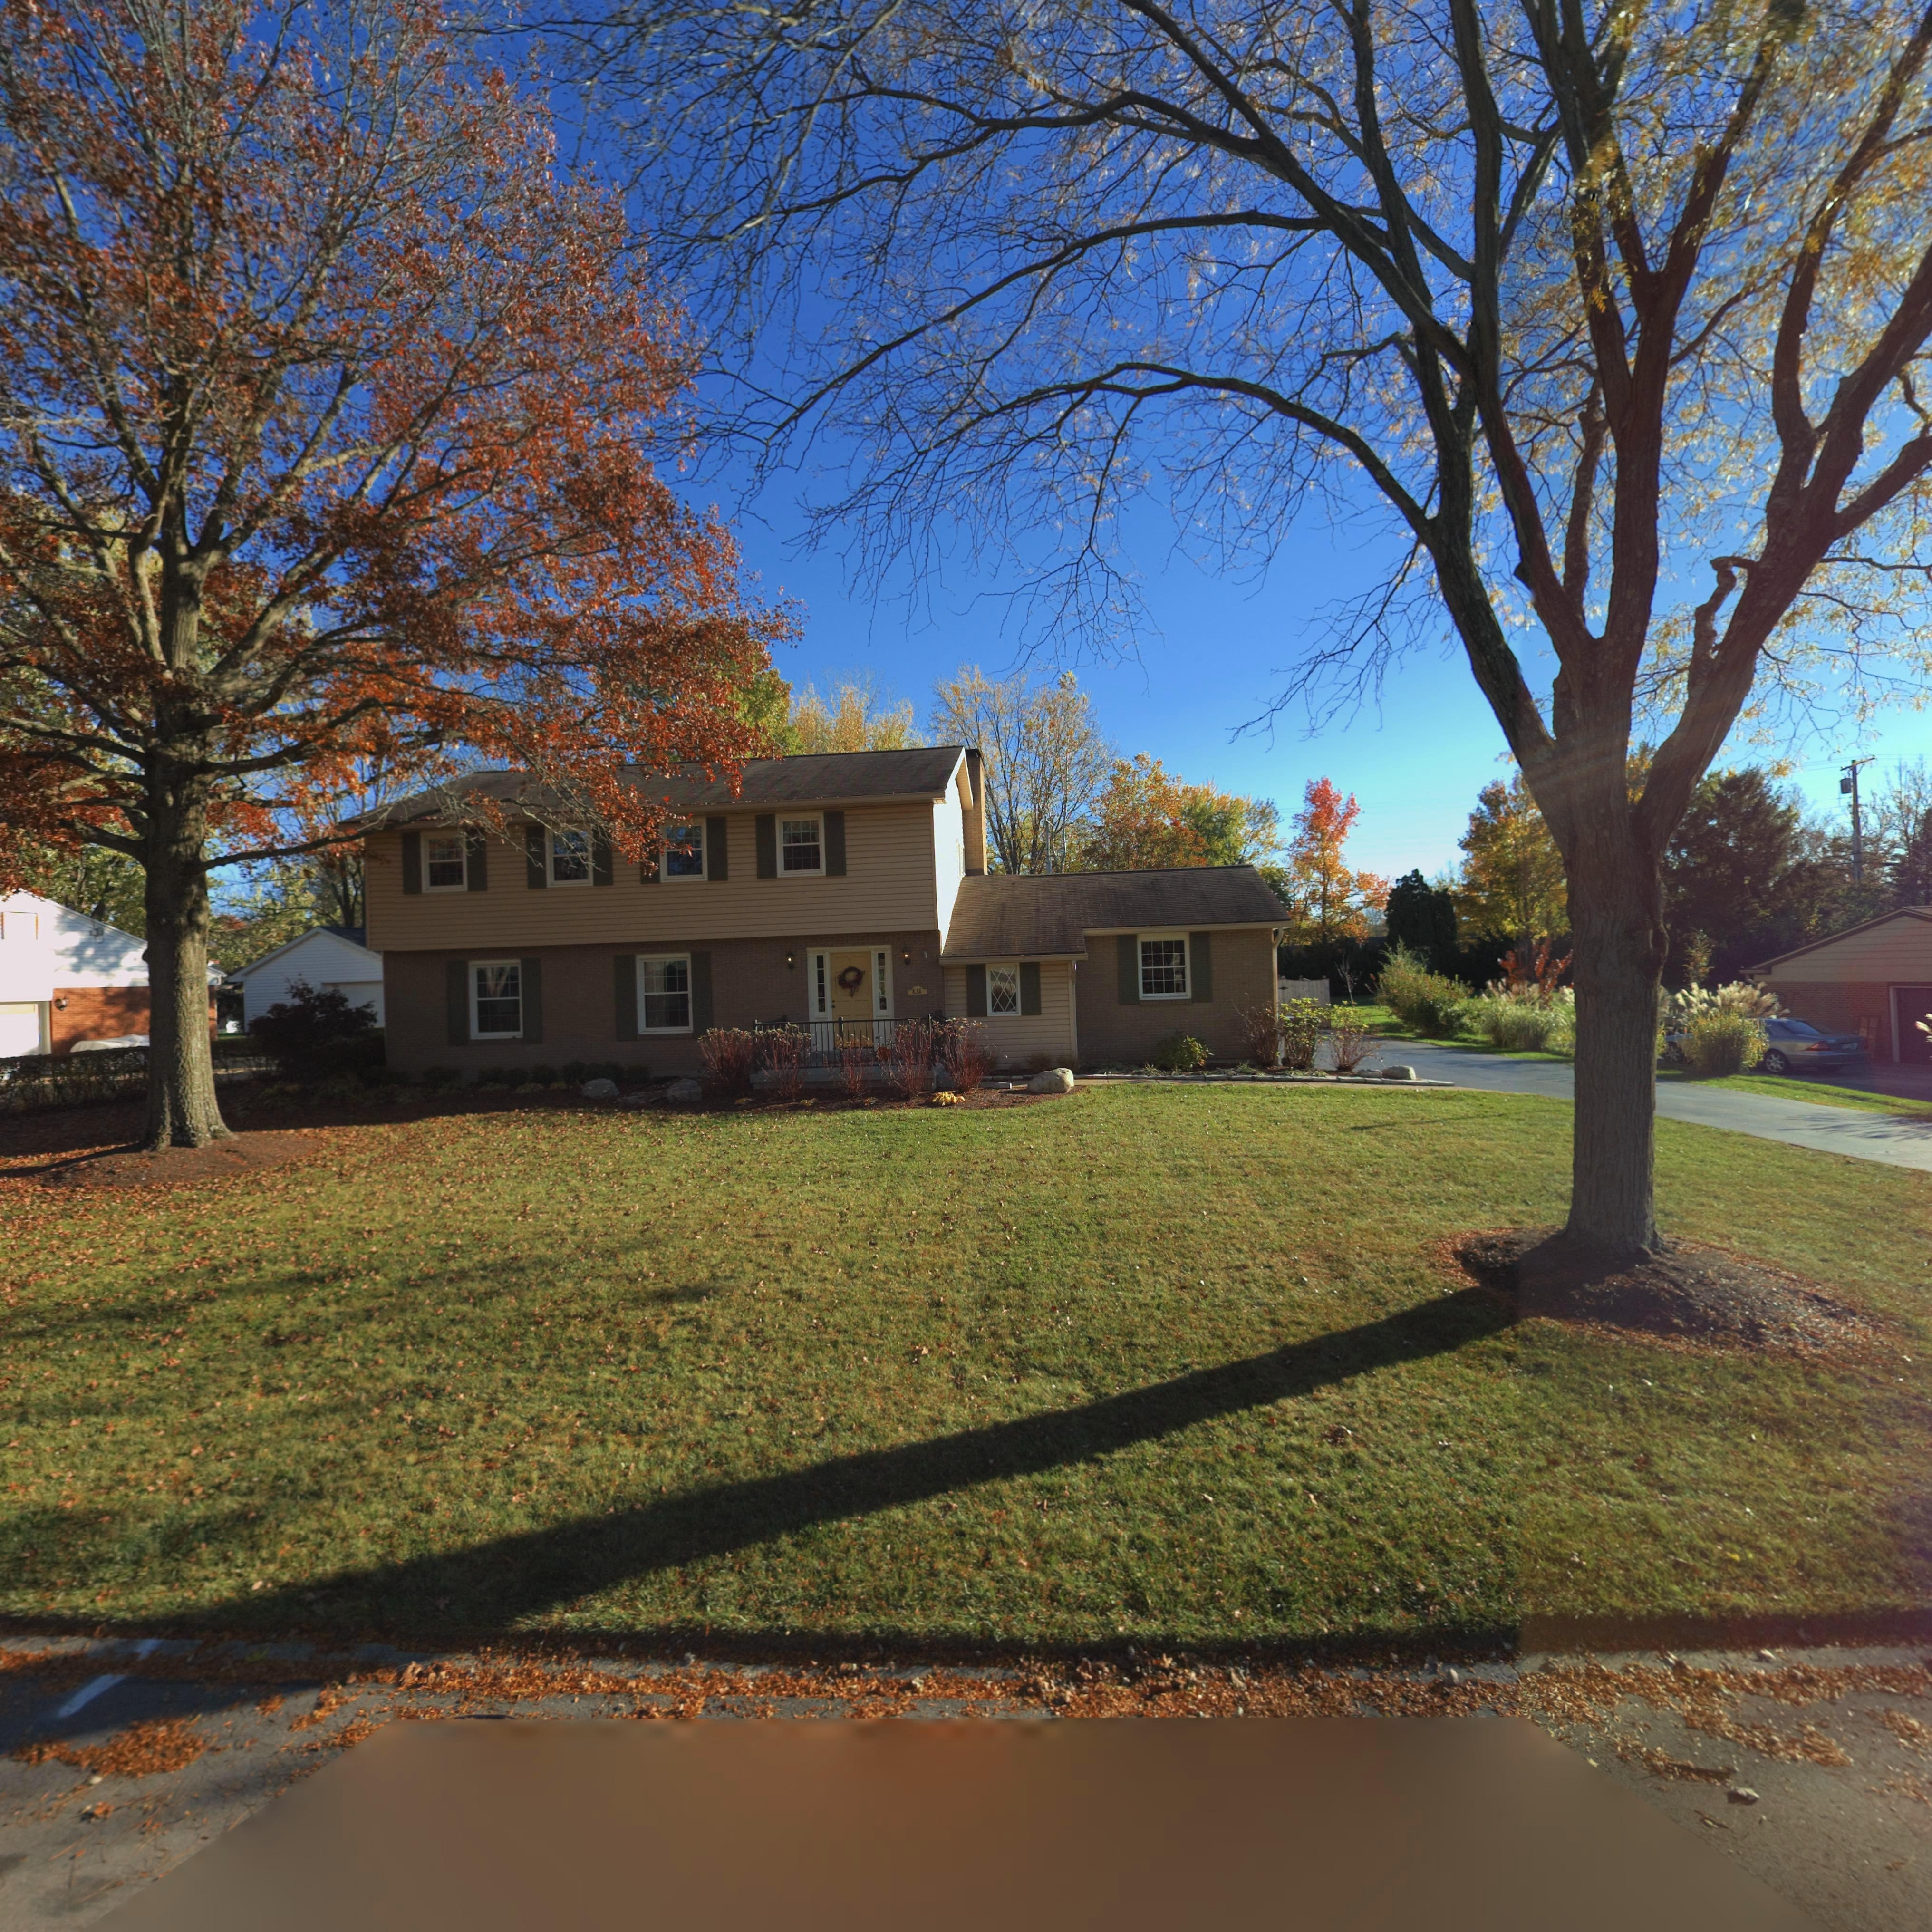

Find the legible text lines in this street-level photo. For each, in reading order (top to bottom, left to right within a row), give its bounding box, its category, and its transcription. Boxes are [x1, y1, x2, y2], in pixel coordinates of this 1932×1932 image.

[912, 988, 922, 994] StreetNumber: 838